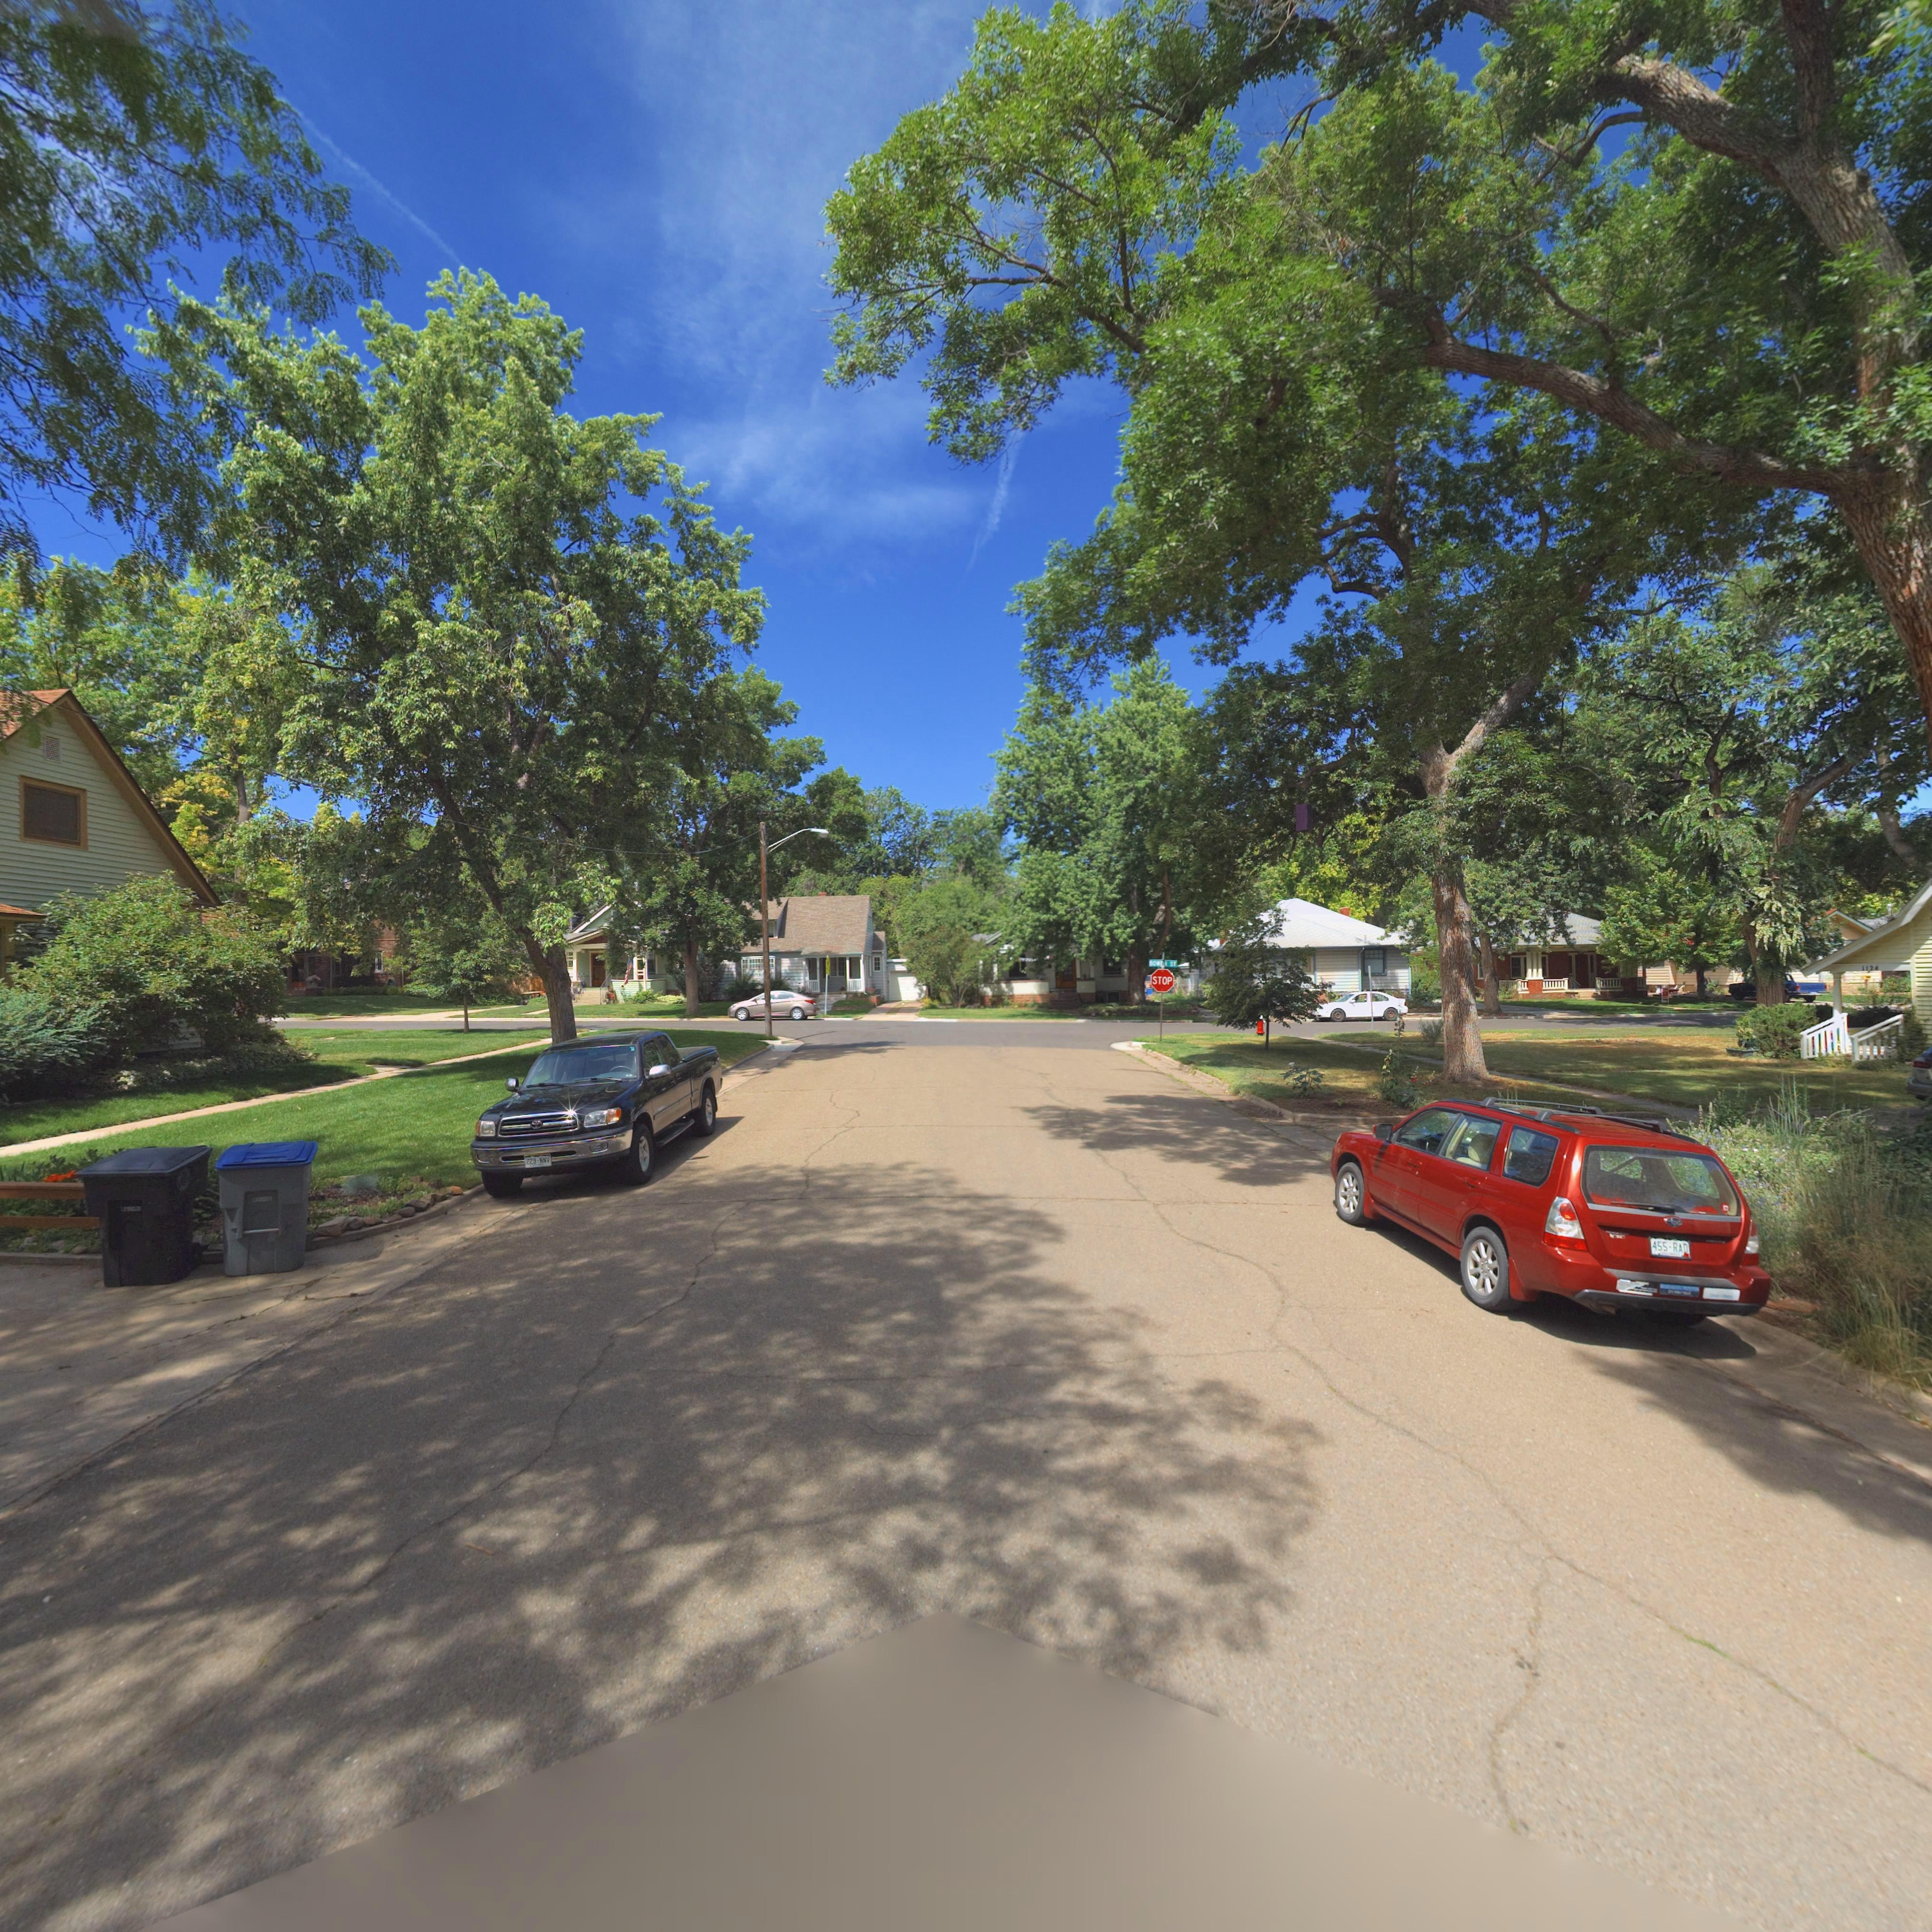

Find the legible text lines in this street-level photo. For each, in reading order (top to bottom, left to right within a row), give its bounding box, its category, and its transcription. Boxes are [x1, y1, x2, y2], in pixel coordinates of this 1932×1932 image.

[1149, 960, 1177, 966] StreetName: BO*E* ST
[1863, 965, 1878, 970] StreetNumber: 1124